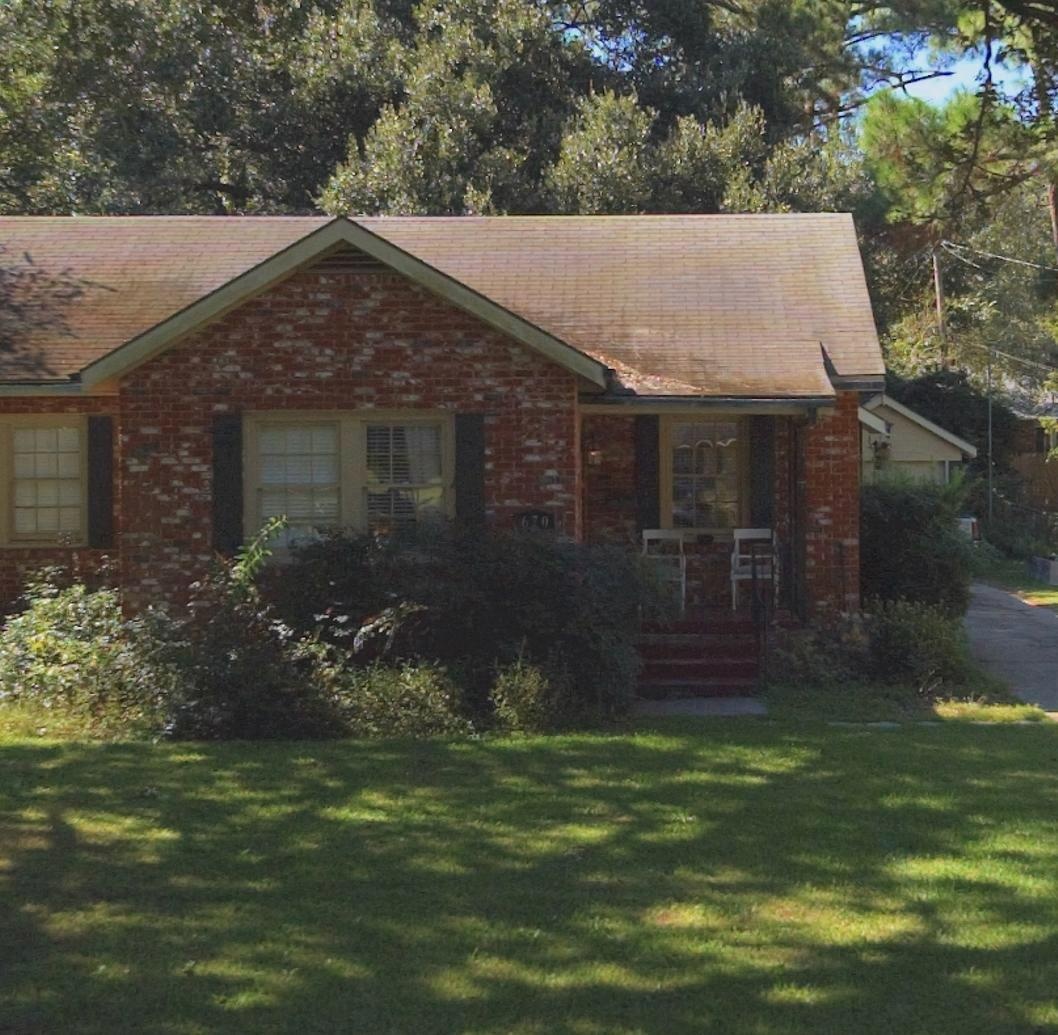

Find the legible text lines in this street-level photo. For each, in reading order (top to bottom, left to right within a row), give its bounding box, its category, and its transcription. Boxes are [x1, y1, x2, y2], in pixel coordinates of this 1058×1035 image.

[519, 513, 551, 531] StreetNumber: 670